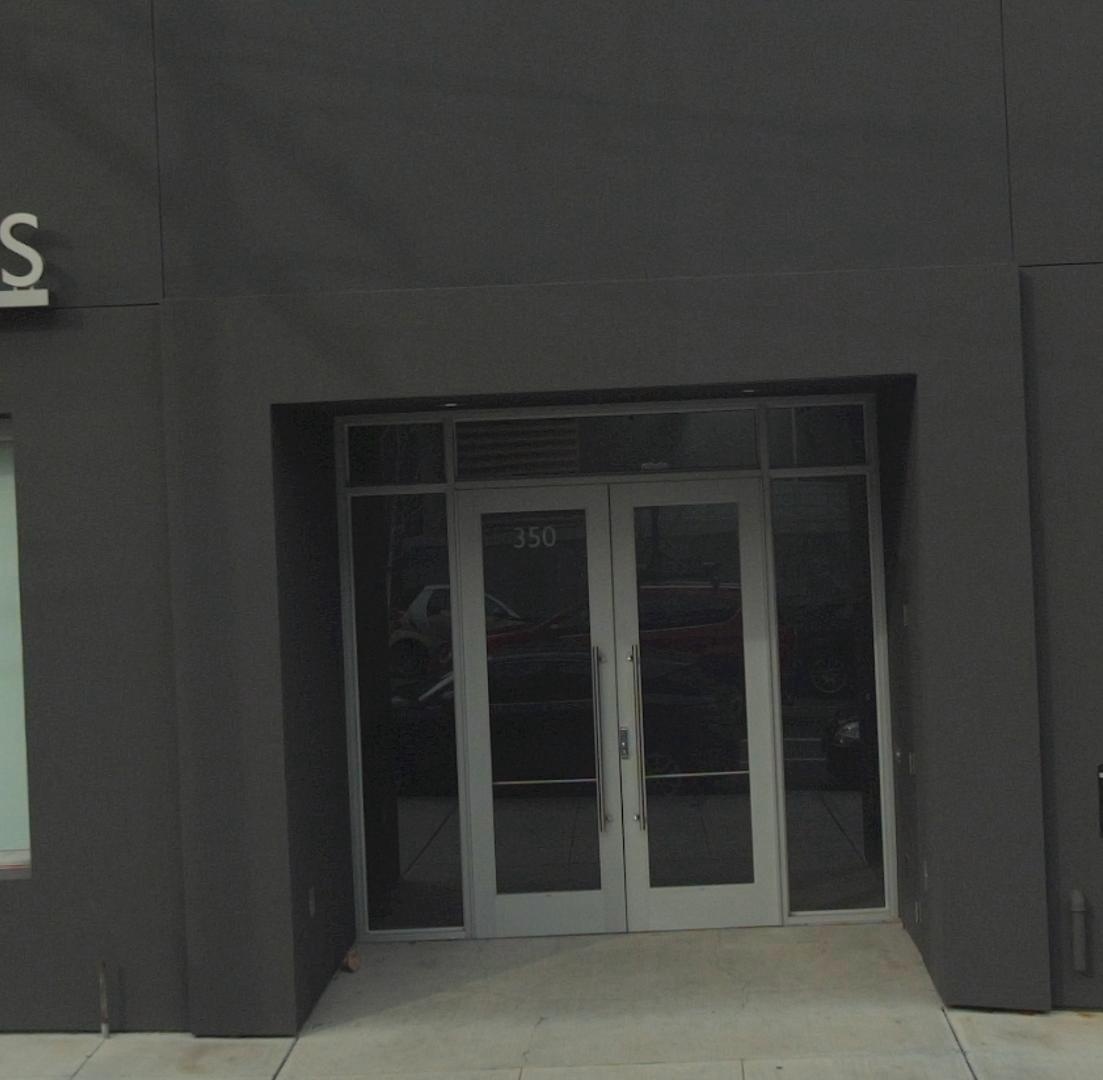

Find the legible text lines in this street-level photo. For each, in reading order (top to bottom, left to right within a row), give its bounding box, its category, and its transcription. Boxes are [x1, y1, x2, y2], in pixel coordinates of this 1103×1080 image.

[1, 210, 47, 289] None: S
[512, 524, 558, 549] StreetNumber: 350